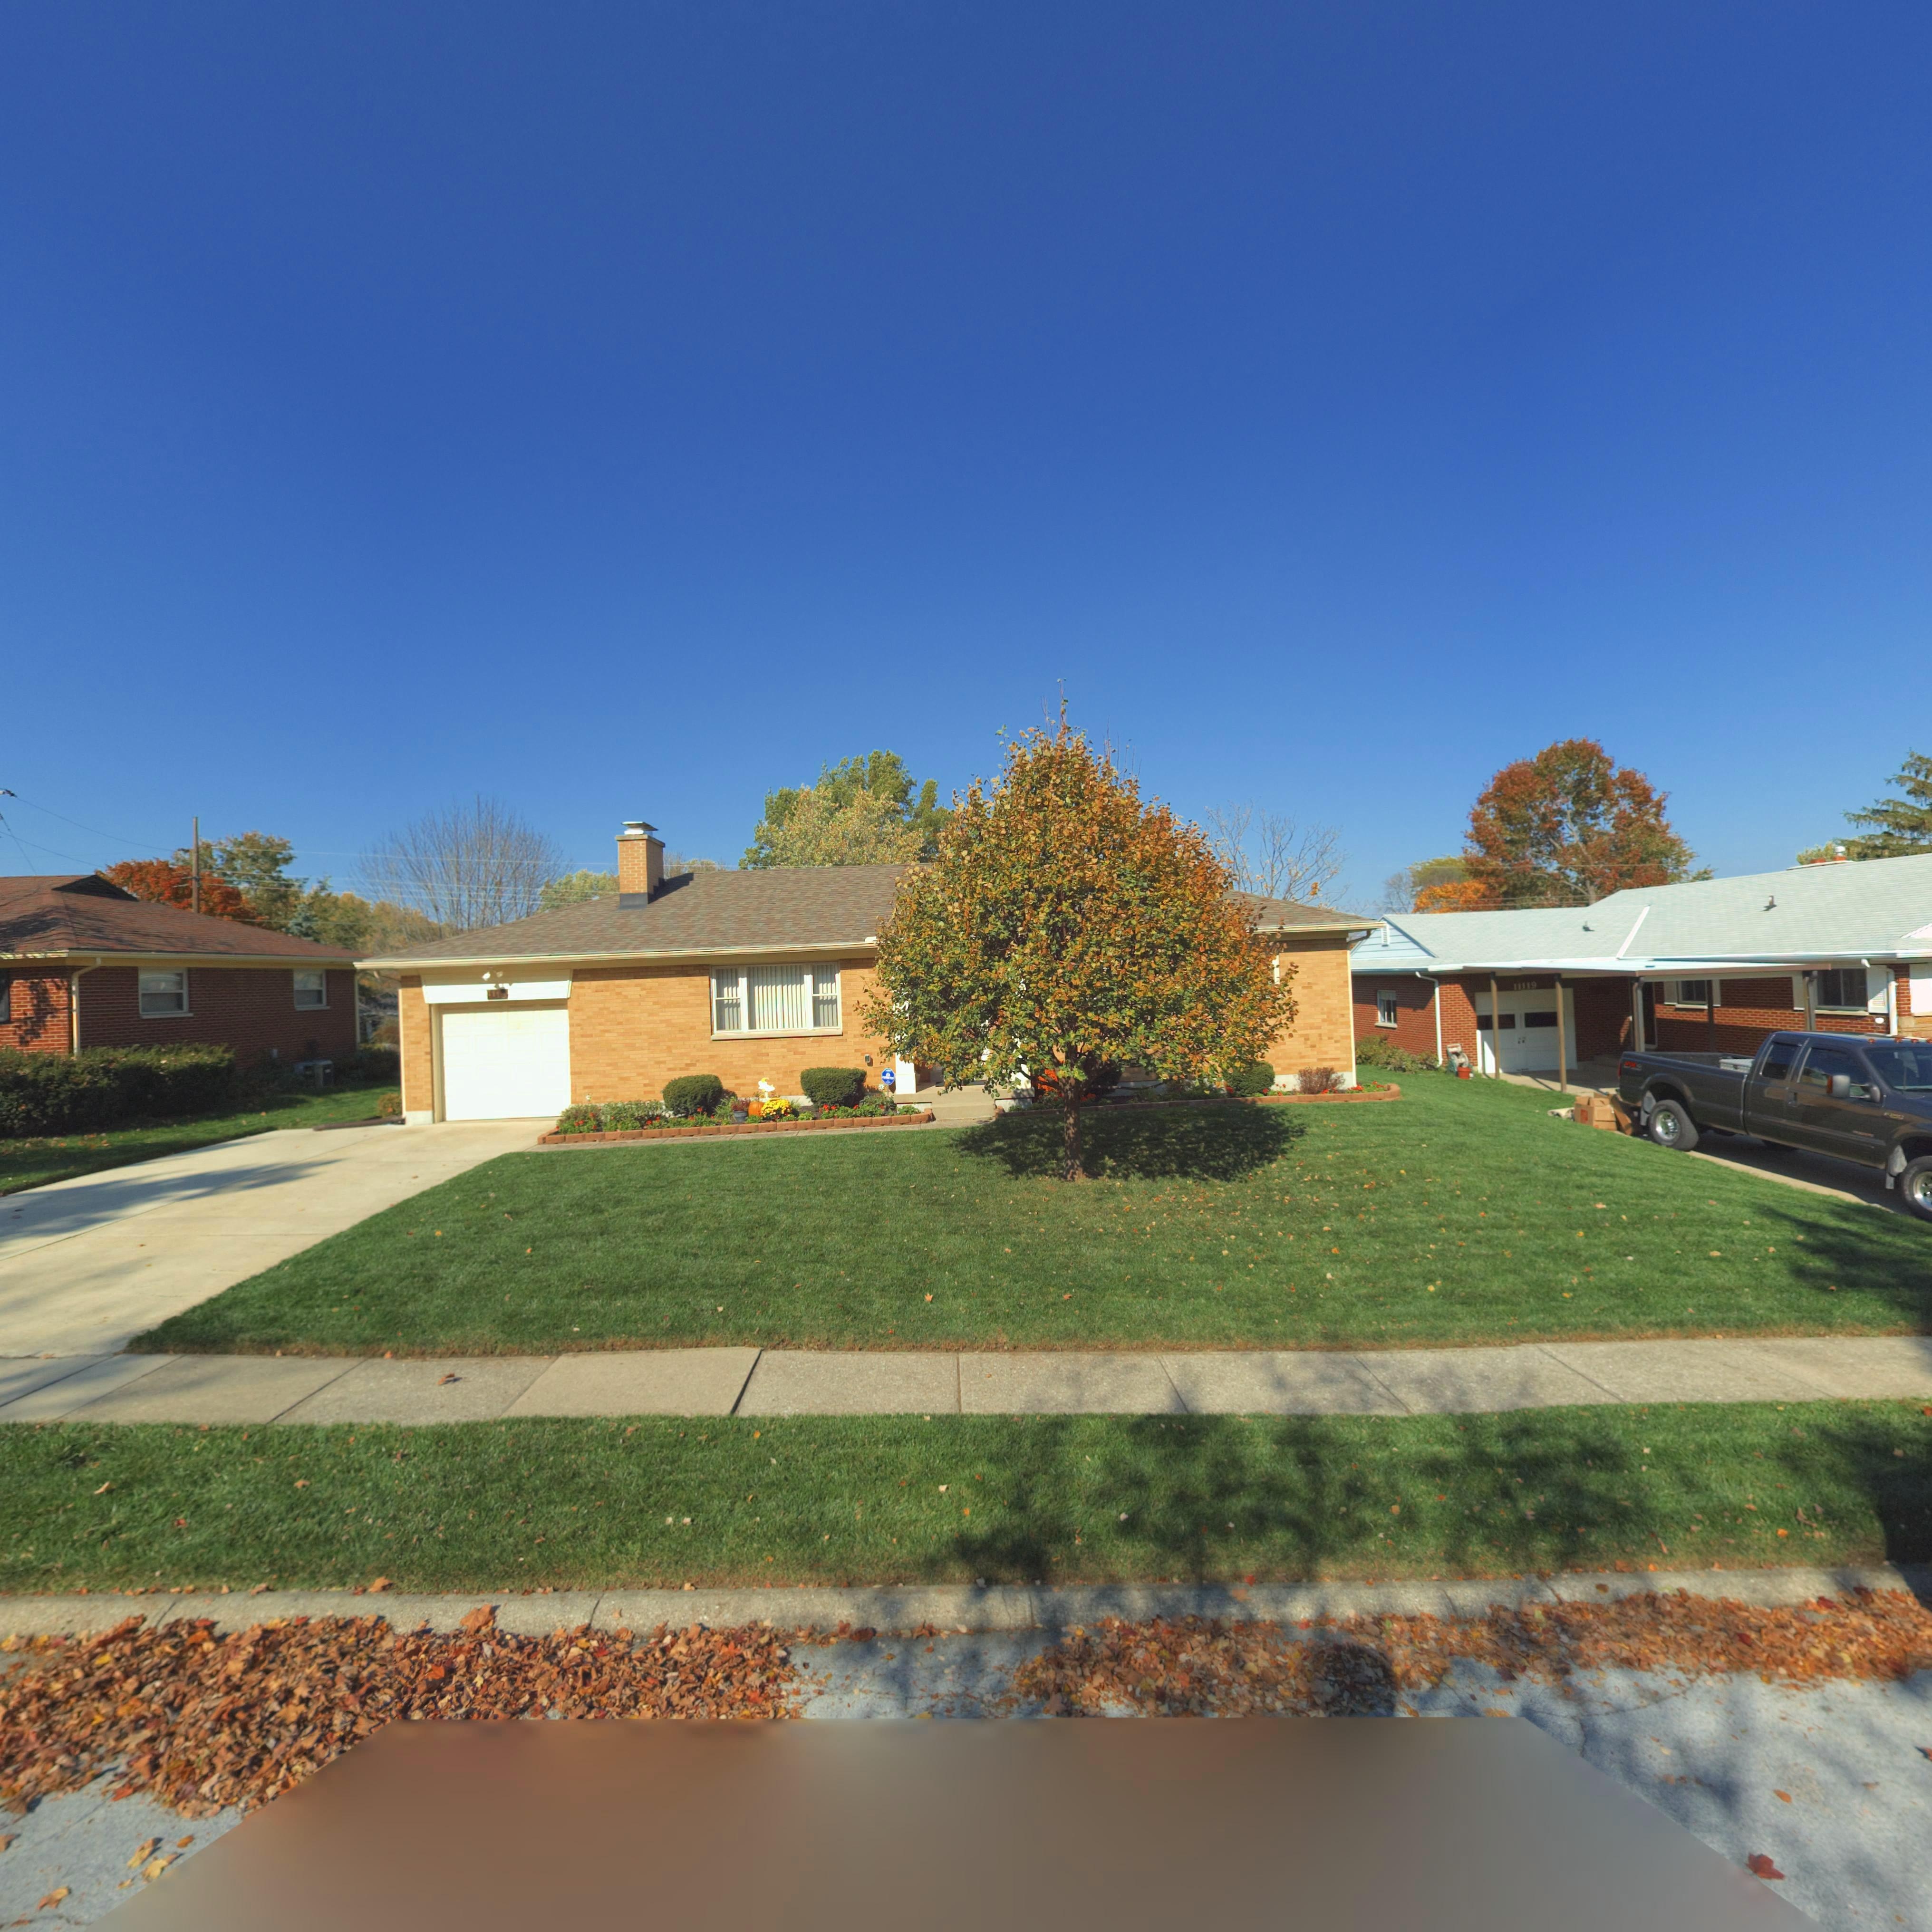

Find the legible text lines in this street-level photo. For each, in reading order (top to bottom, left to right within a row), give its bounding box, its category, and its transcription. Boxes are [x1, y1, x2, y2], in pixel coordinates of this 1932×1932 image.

[1513, 980, 1537, 991] StreetNumber: 11119
[487, 990, 507, 999] StreetNumber: 1113